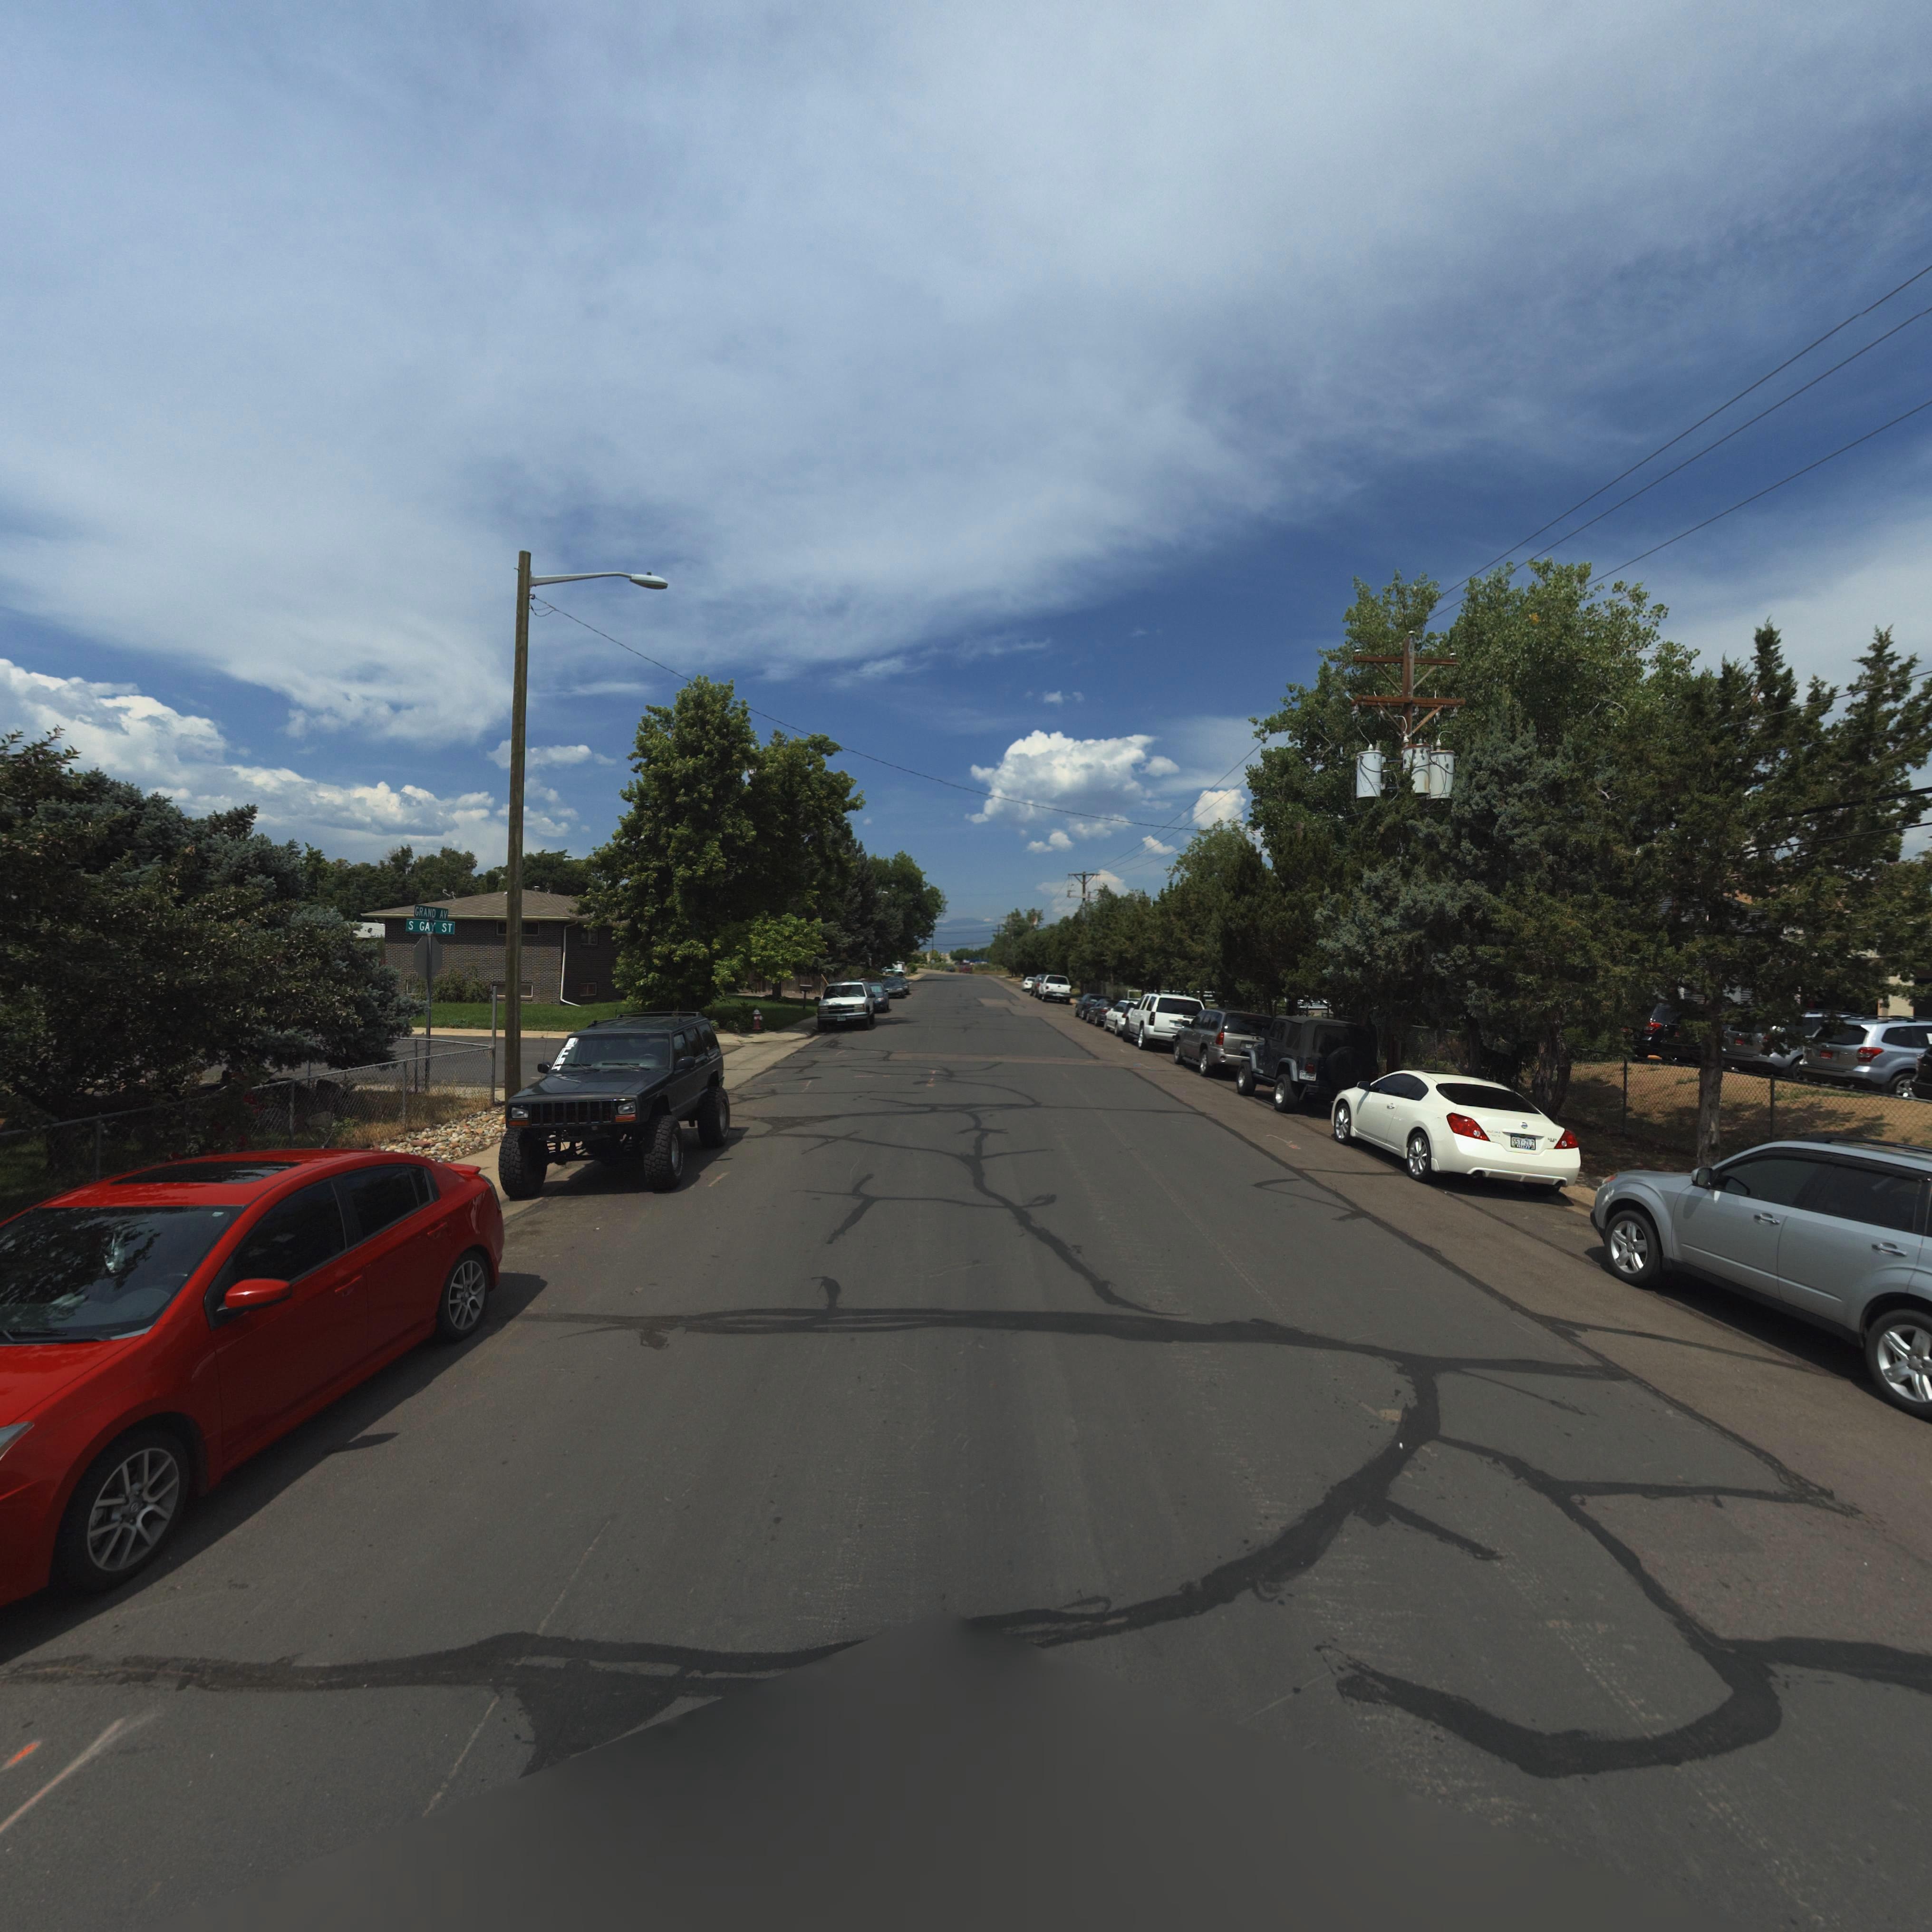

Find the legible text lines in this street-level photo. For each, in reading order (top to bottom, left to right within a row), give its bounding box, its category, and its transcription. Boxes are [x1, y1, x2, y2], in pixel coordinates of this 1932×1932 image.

[414, 905, 447, 919] StreetName: GRAND AV
[407, 920, 454, 933] StreetName: S GAY ST